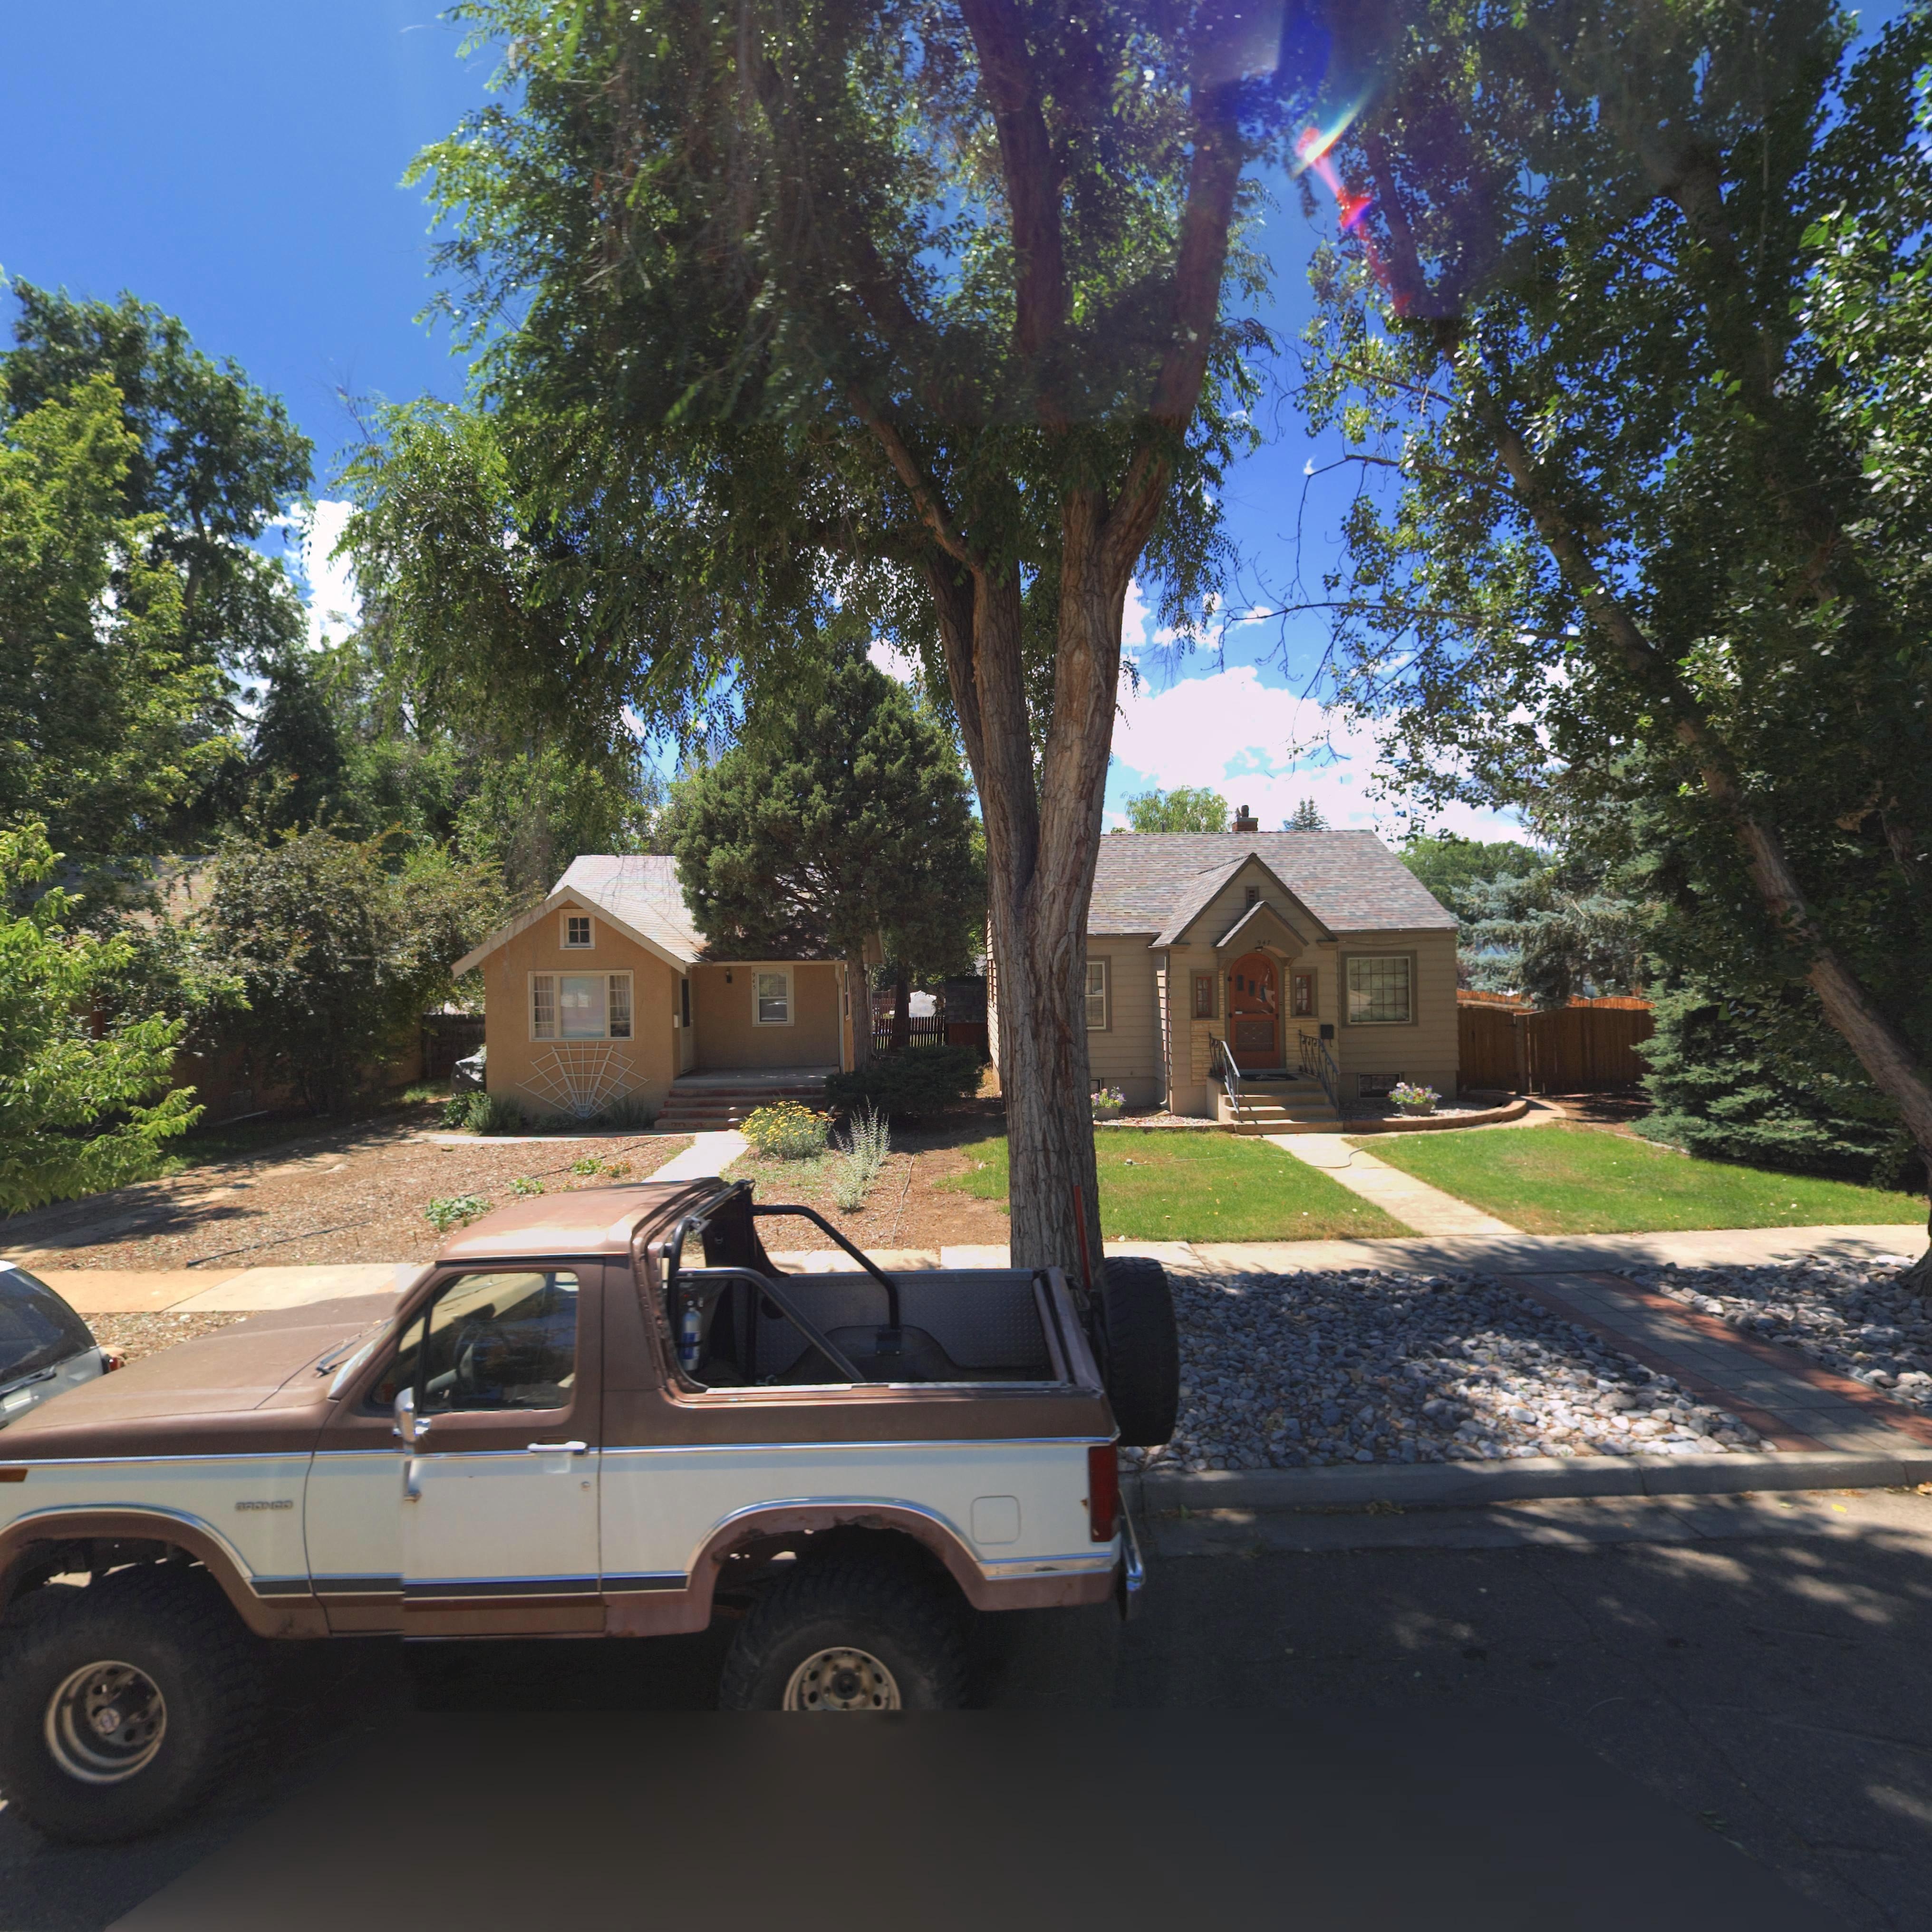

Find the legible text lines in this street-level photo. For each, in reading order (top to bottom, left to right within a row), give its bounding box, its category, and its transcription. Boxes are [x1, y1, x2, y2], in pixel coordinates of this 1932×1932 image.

[1256, 939, 1271, 946] StreetNumber: 947
[752, 972, 756, 990] StreetNumber: 945